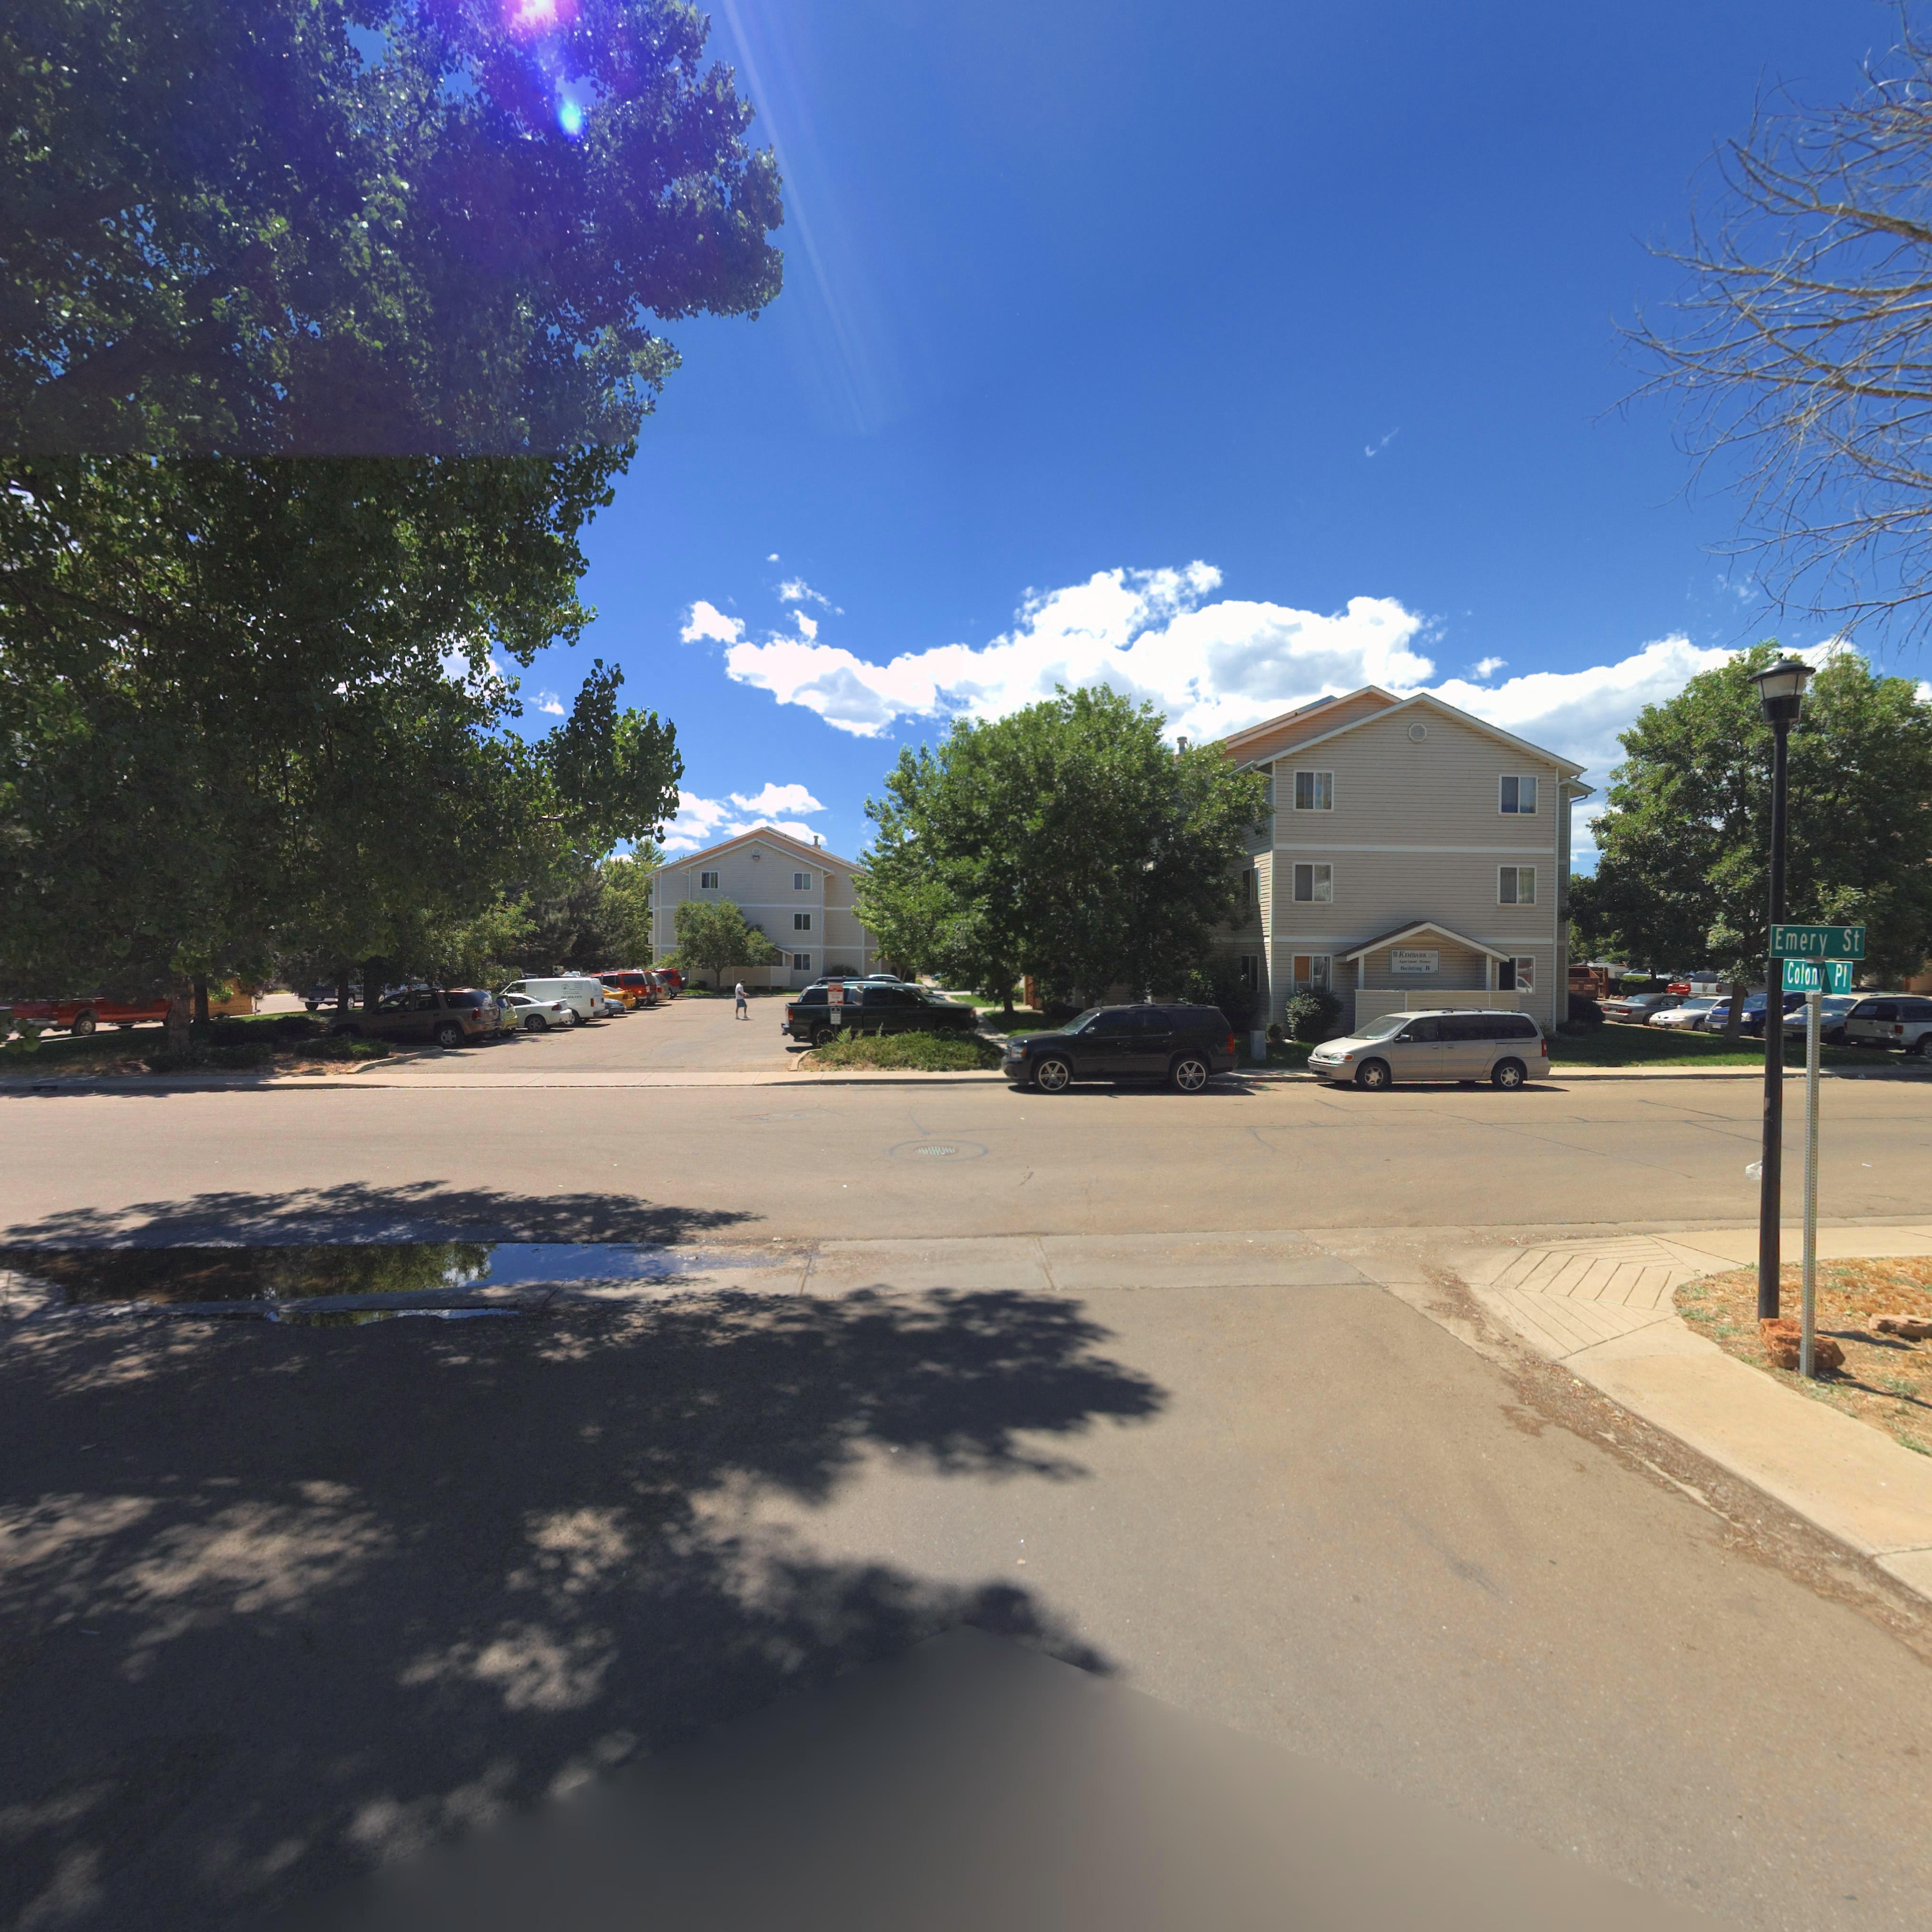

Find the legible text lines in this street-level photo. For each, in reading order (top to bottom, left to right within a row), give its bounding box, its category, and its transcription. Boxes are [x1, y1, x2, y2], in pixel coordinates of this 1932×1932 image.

[1398, 950, 1428, 957] BusinessName: KIMBARK
[1428, 952, 1437, 957] StreetNumber: **00
[1774, 927, 1860, 956] StreetName: Emery St
[1786, 961, 1847, 992] StreetName: Colony Pl